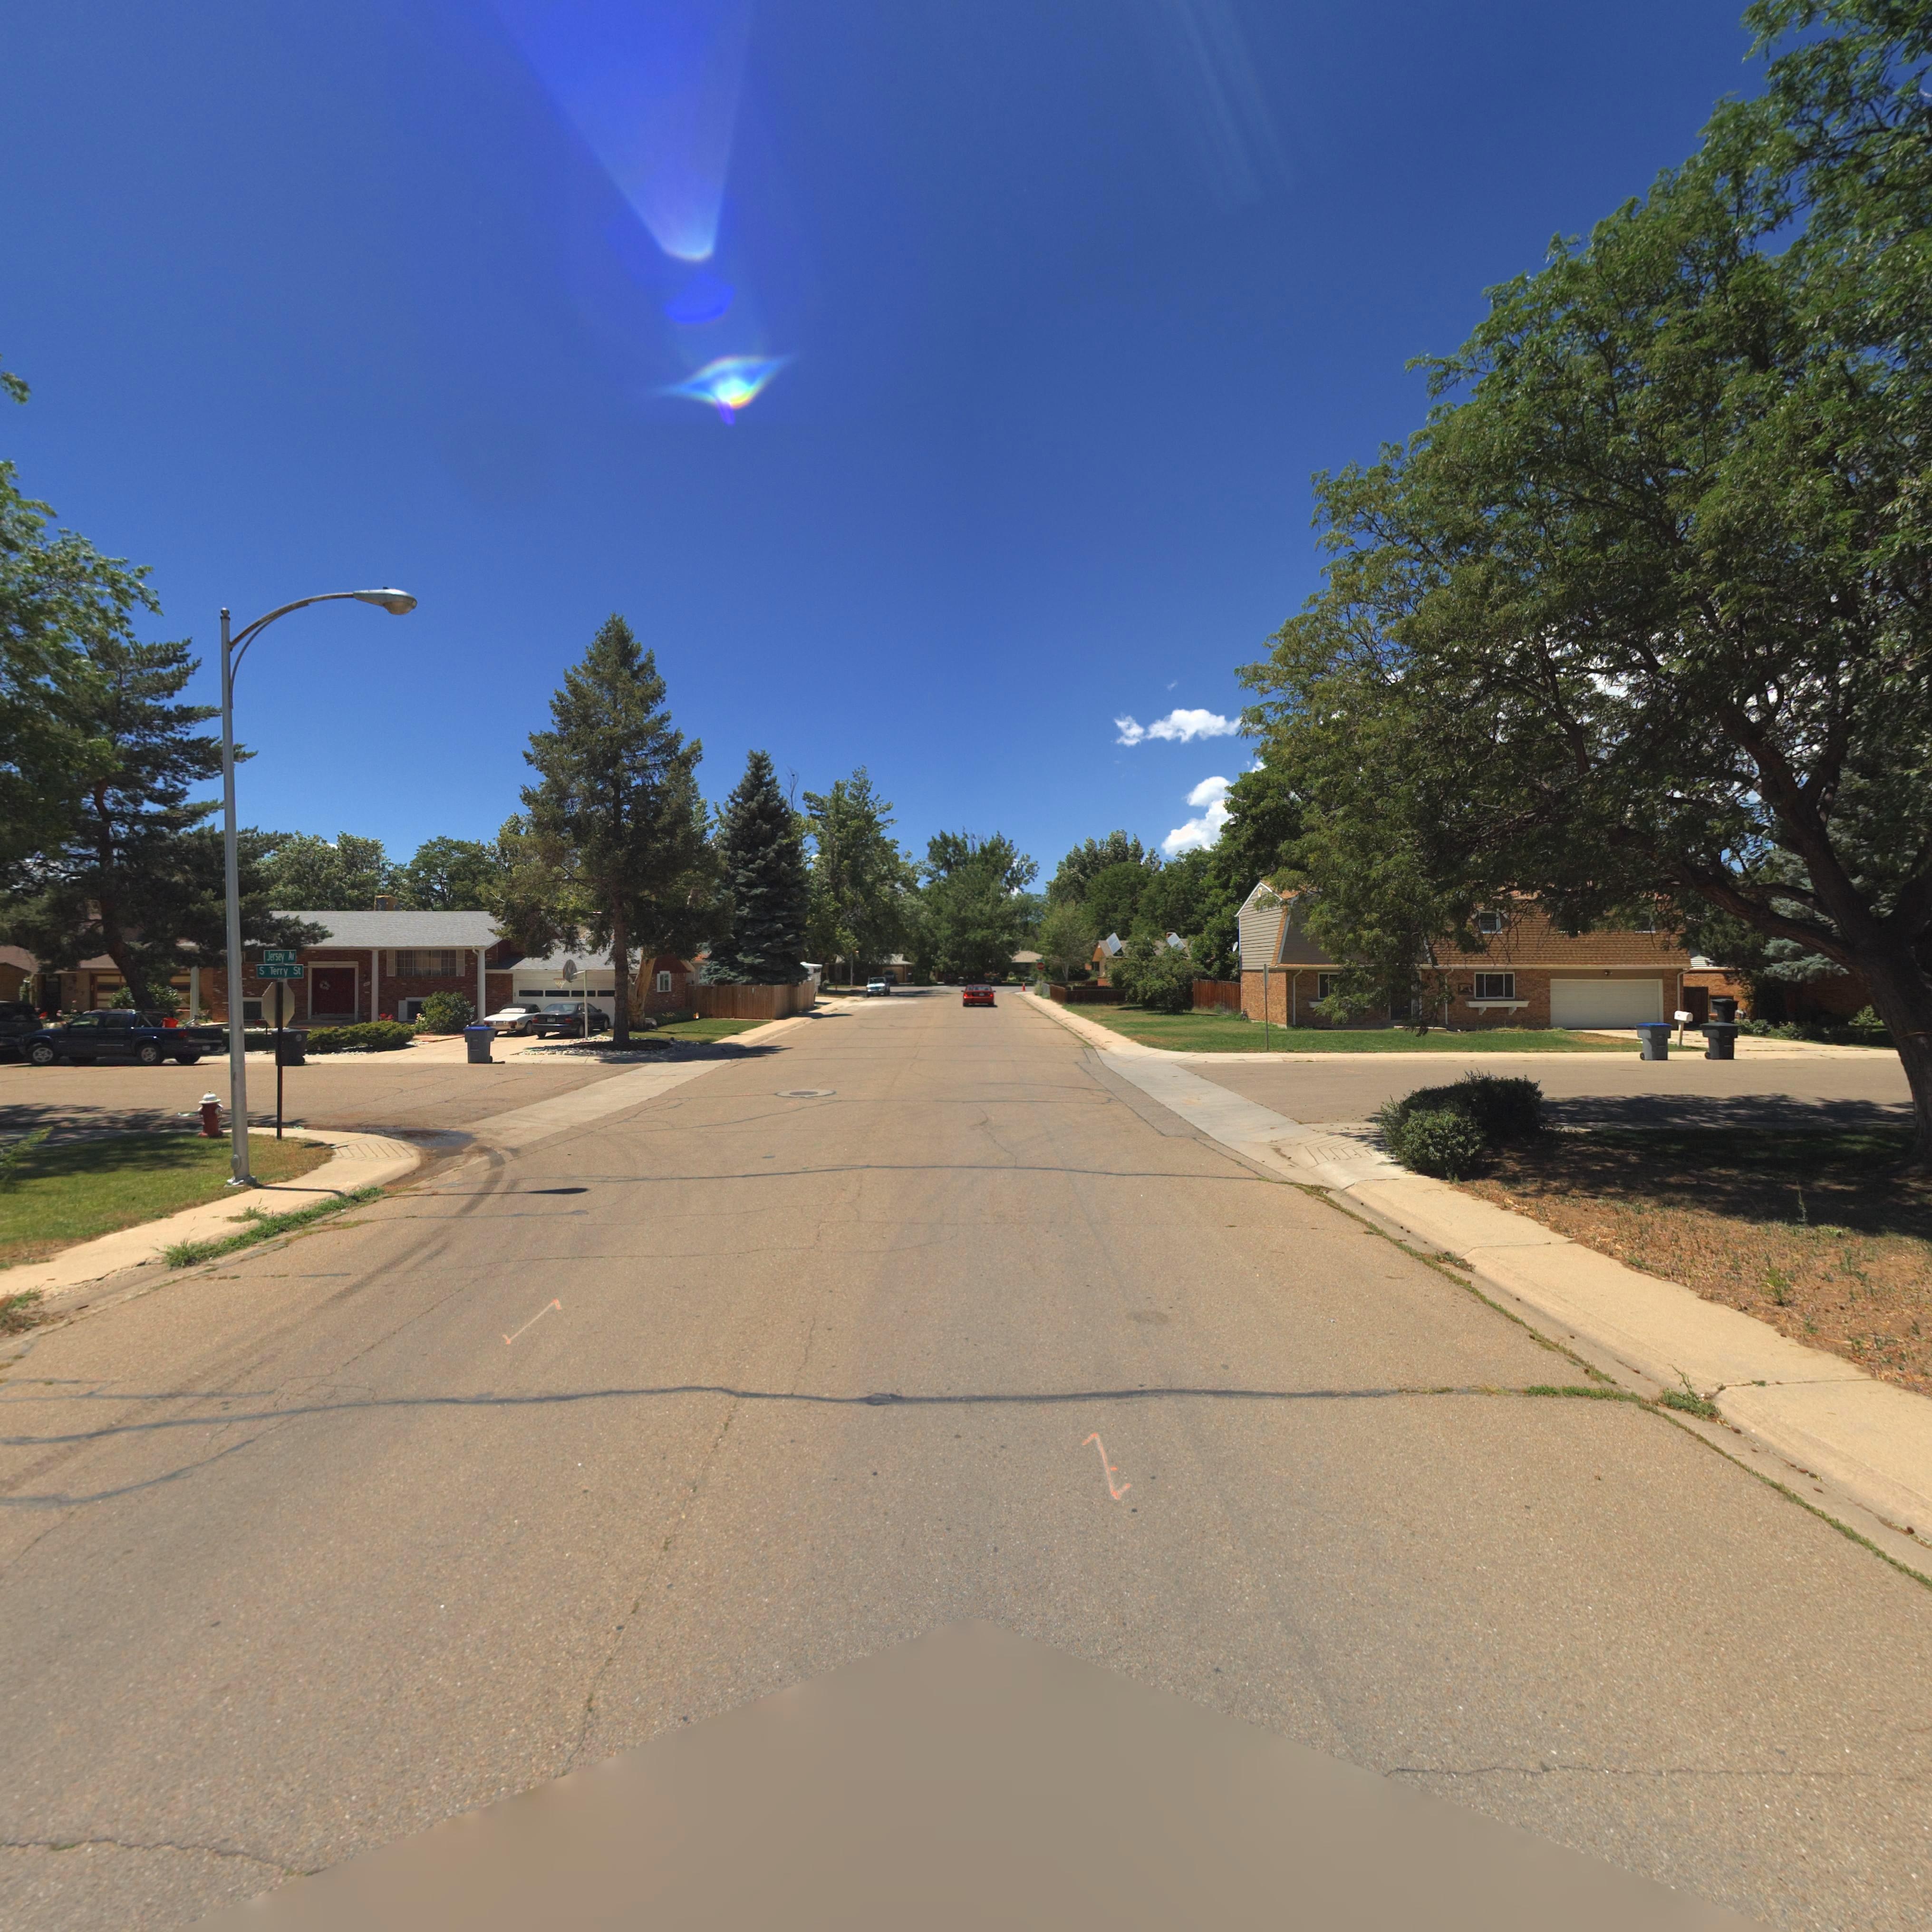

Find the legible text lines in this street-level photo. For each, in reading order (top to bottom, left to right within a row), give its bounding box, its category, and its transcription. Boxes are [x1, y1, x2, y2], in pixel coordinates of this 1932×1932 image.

[267, 950, 295, 964] StreetName: Jersey A*
[258, 966, 301, 976] StreetName: S Terry St